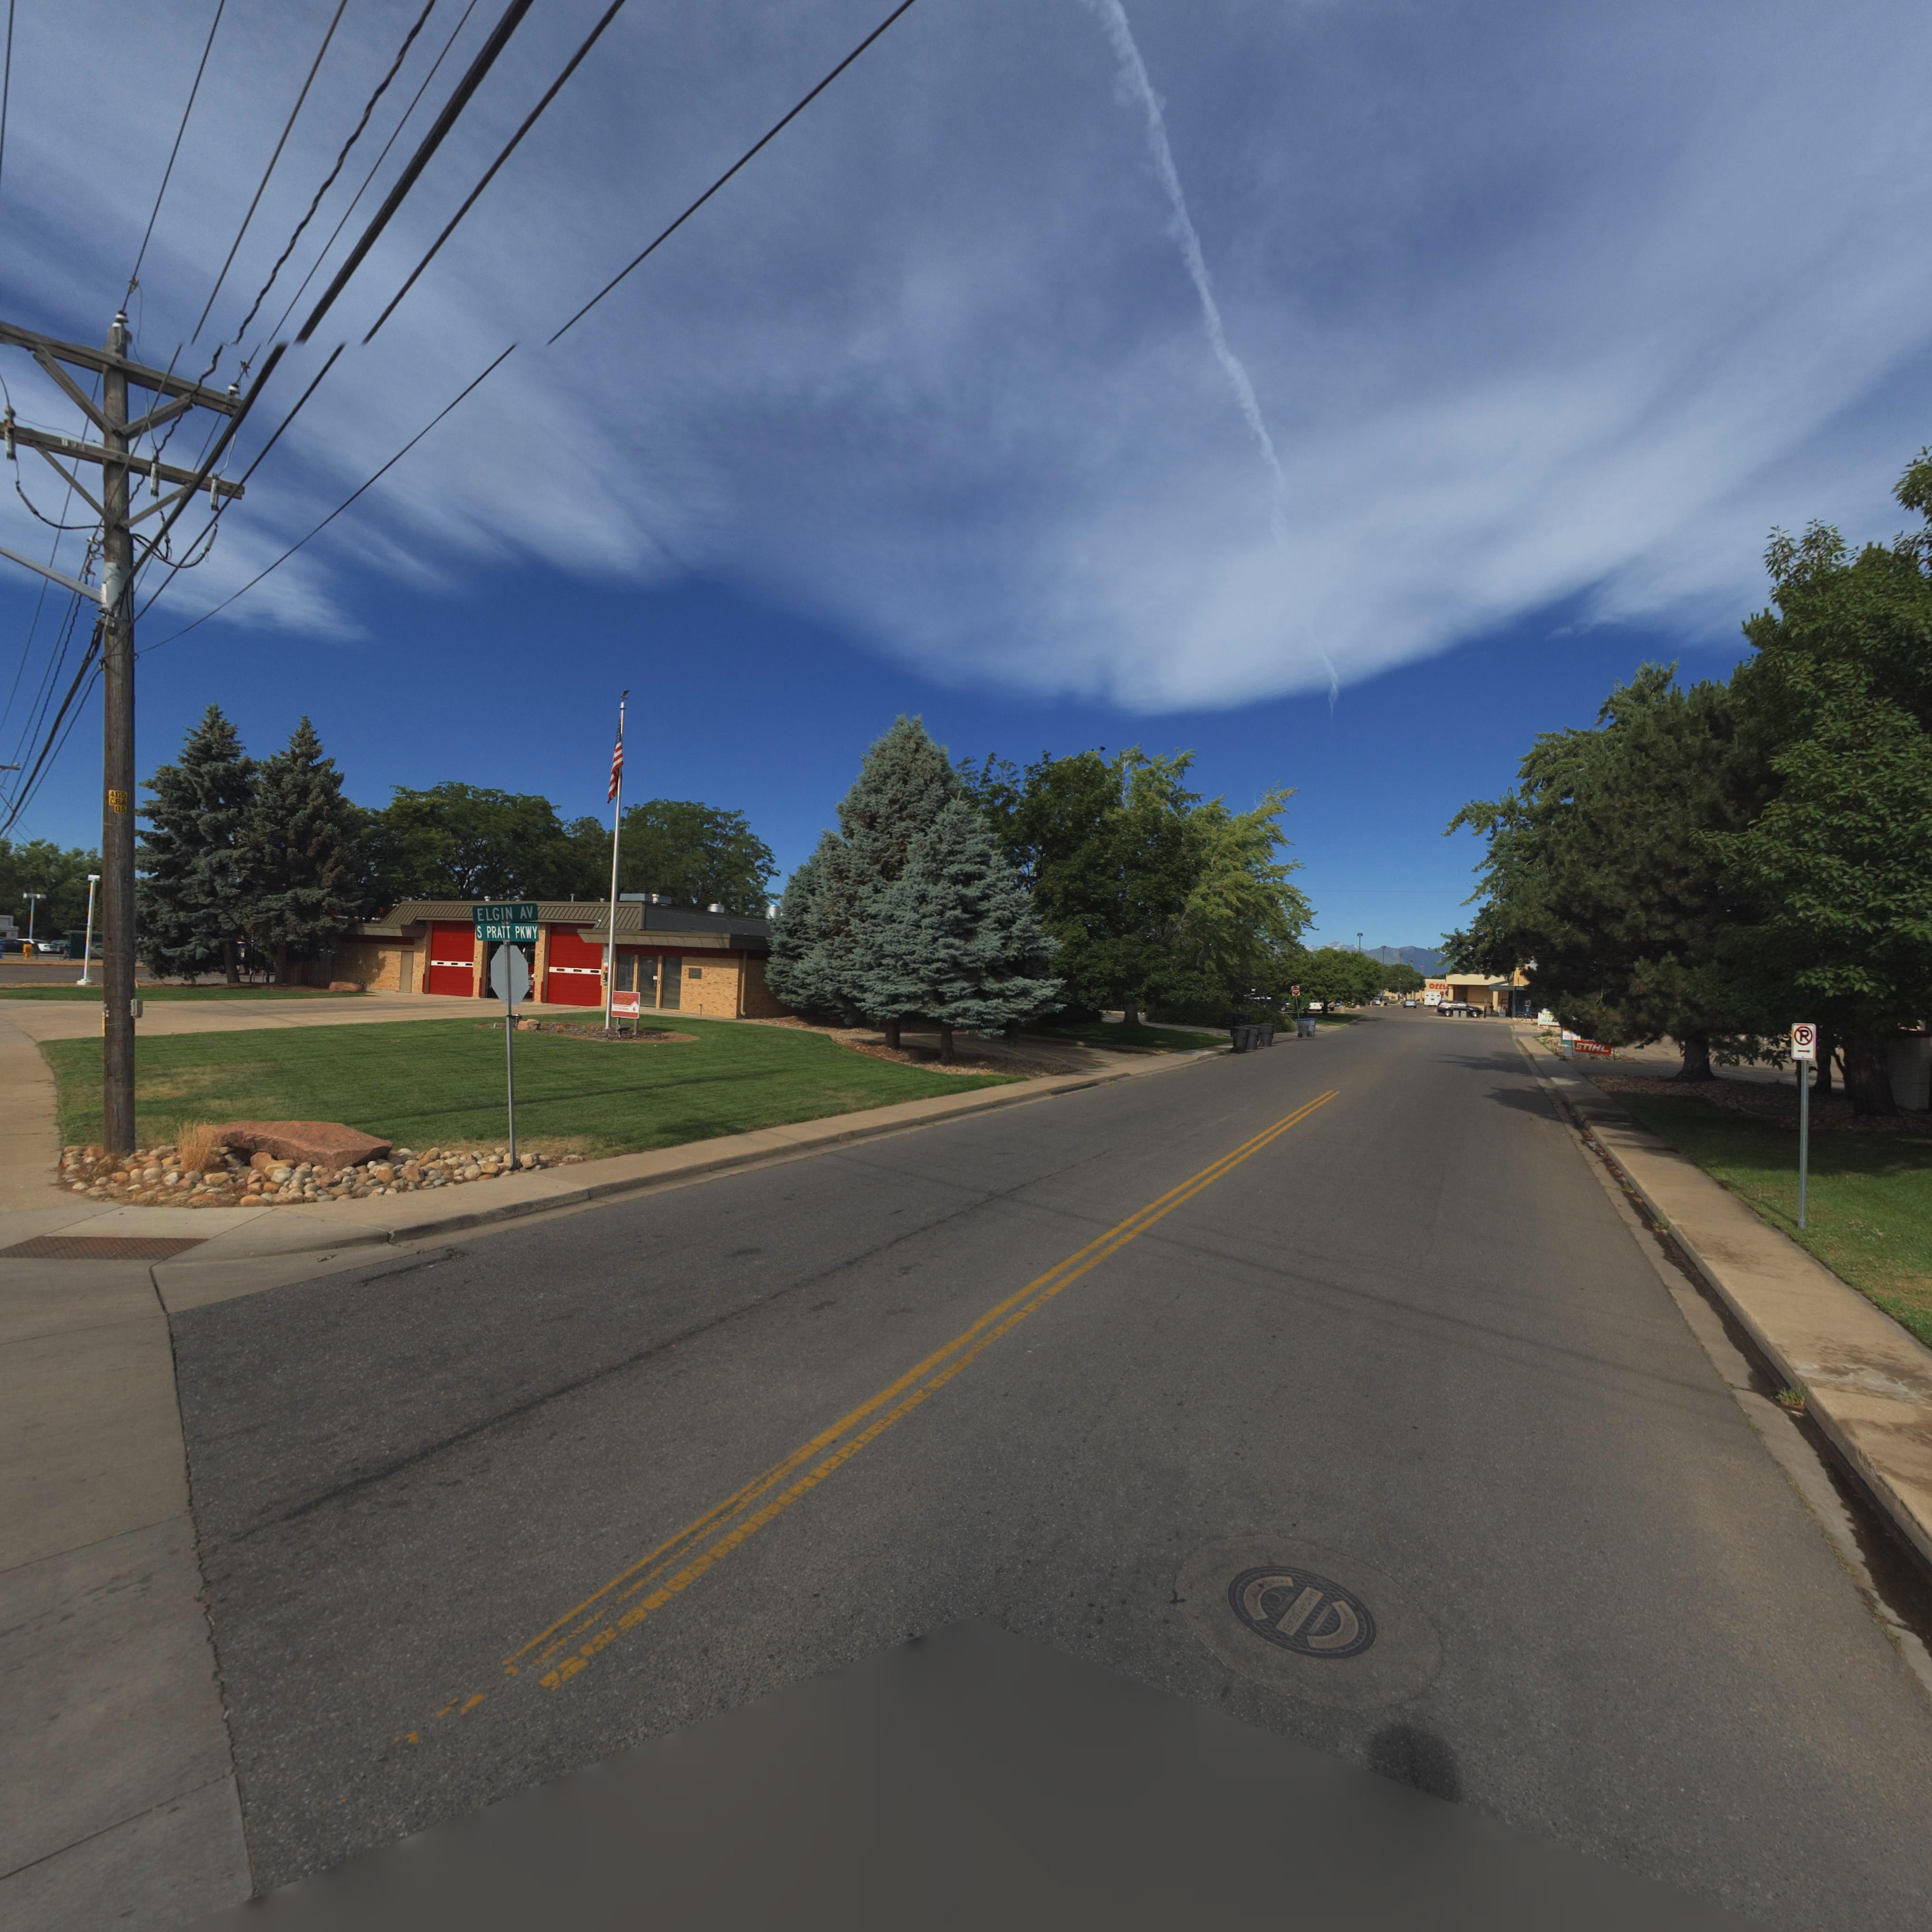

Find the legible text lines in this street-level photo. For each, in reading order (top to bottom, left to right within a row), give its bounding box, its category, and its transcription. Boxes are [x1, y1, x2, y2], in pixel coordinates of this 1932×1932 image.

[476, 905, 532, 921] StreetName: ELGIN AV
[476, 925, 538, 939] StreetName: S PRATT PKWY
[1429, 983, 1452, 989] BusinessName: Offi*
[1575, 1041, 1609, 1053] BusinessName: STIHL